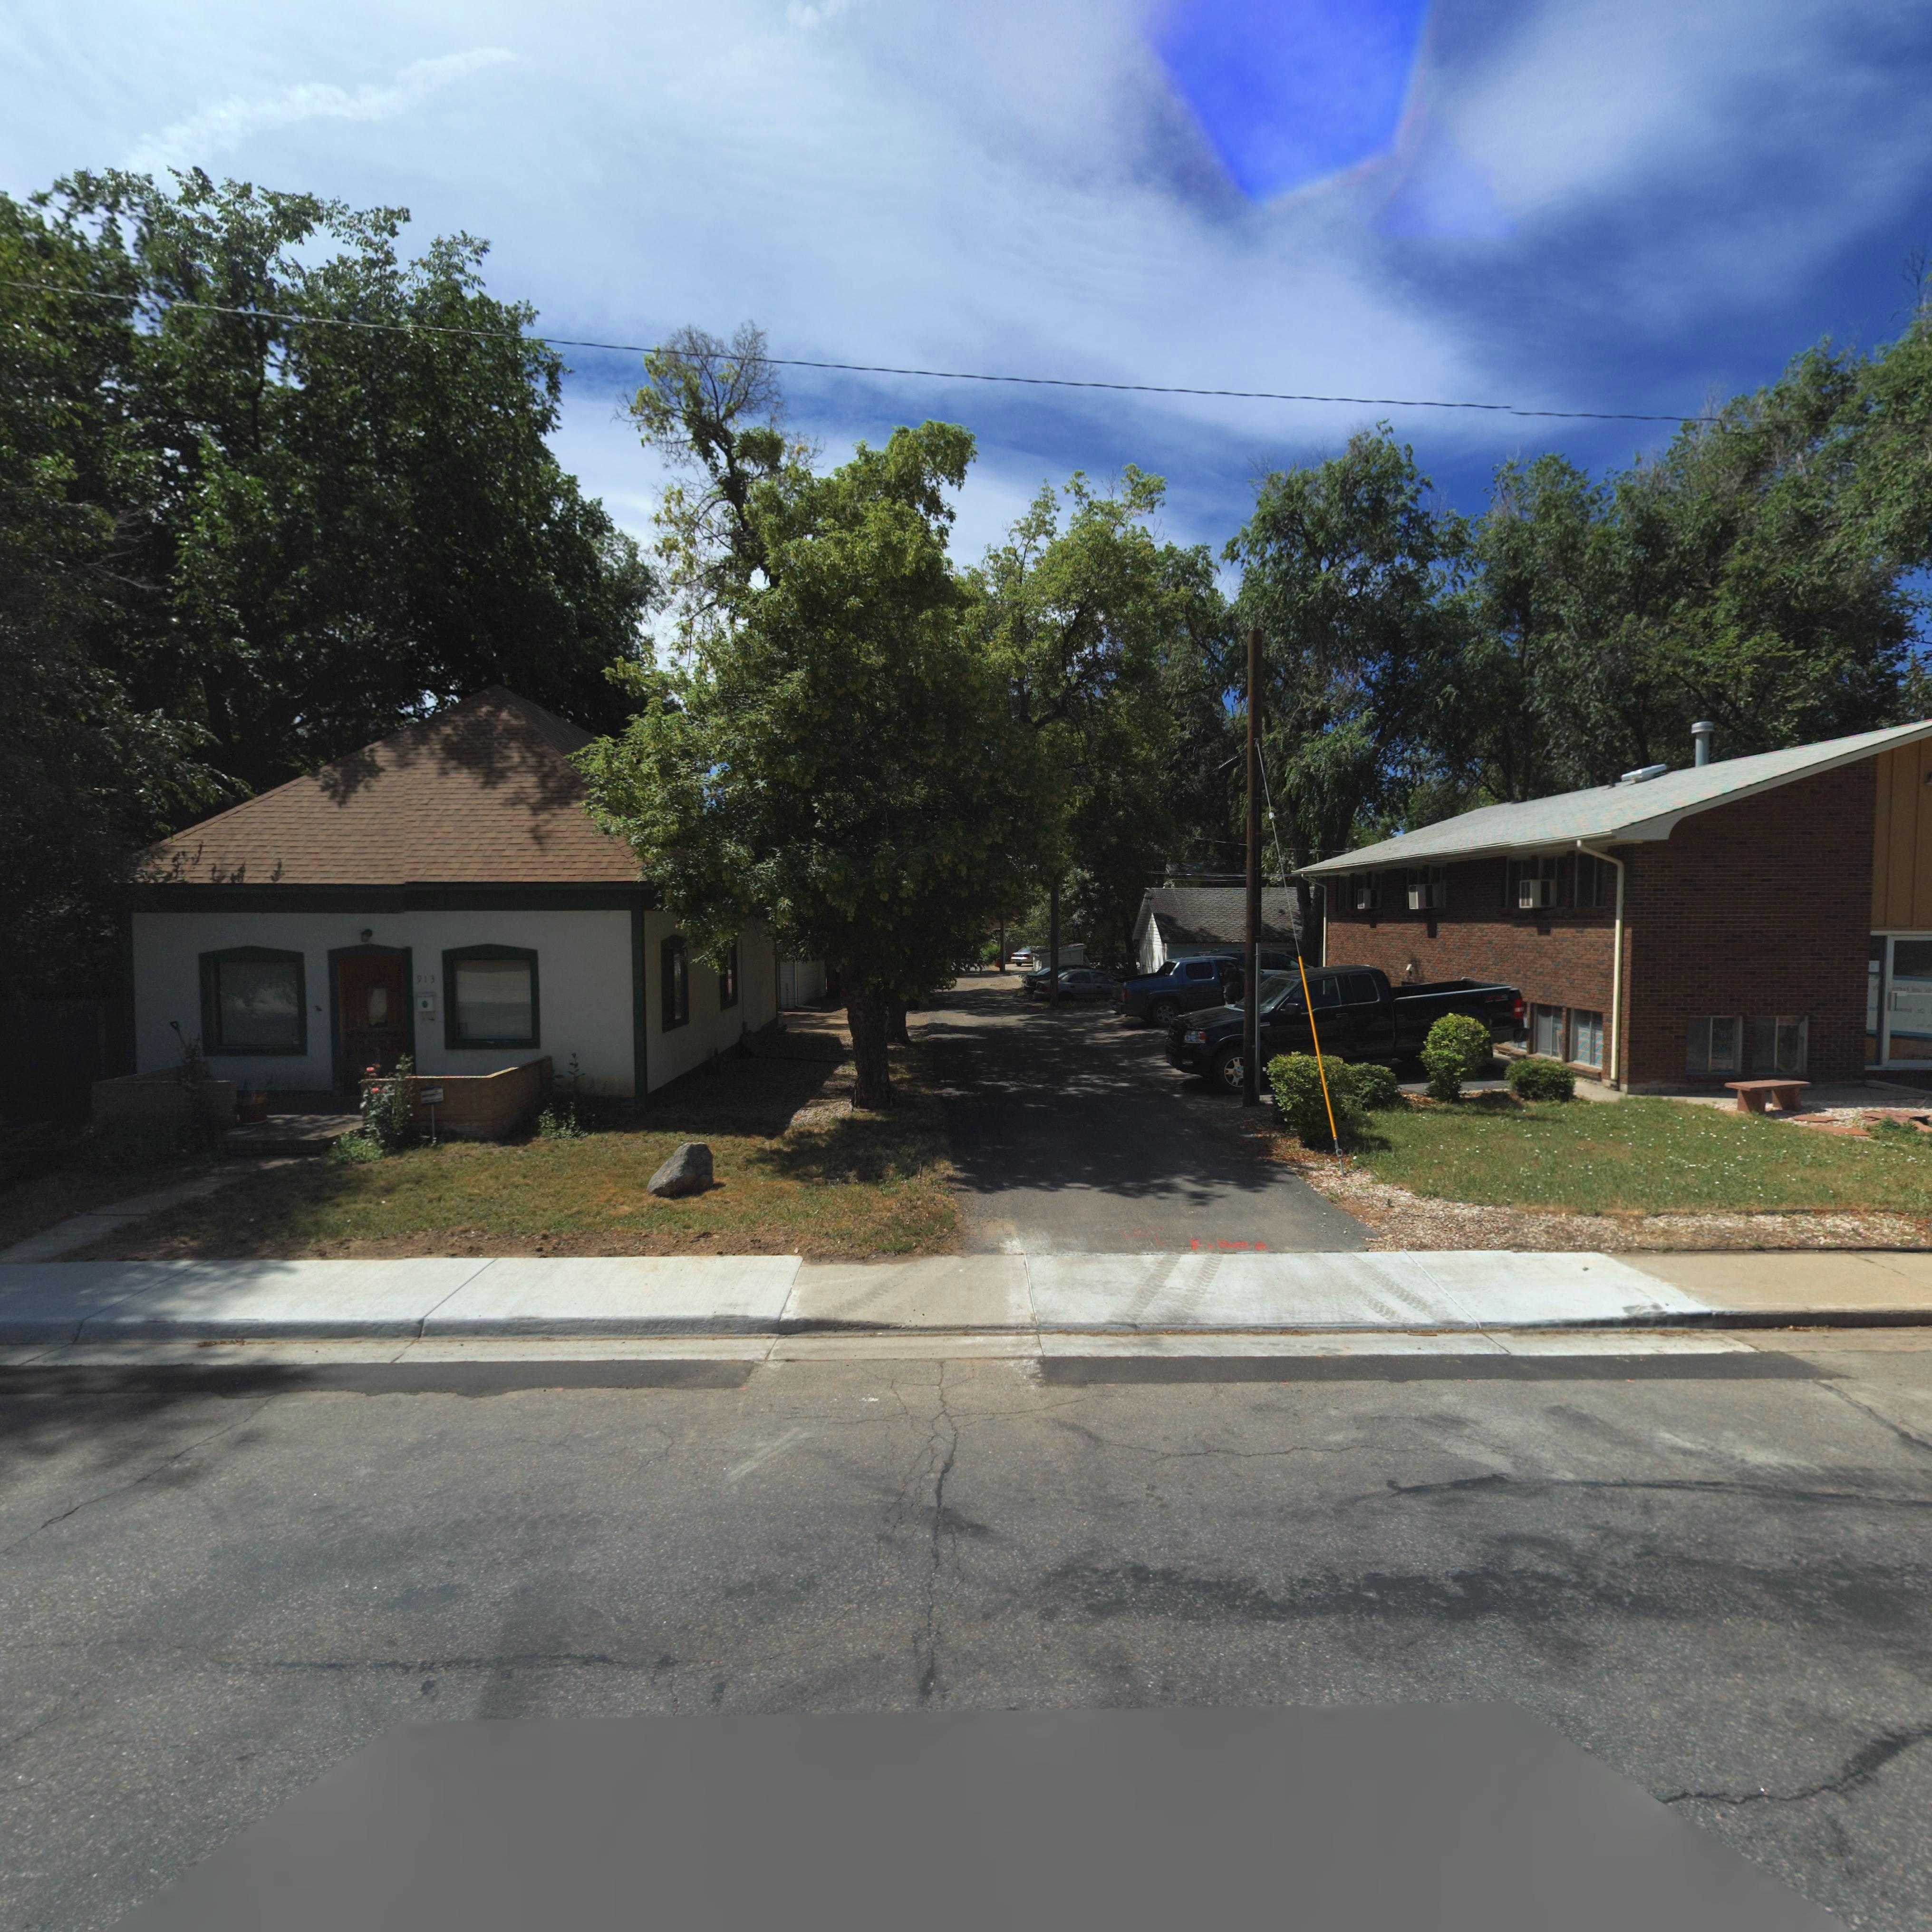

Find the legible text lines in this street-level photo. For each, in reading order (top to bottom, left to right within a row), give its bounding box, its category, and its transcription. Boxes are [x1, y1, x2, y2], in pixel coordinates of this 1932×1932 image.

[416, 975, 435, 984] StreetNumber: 913